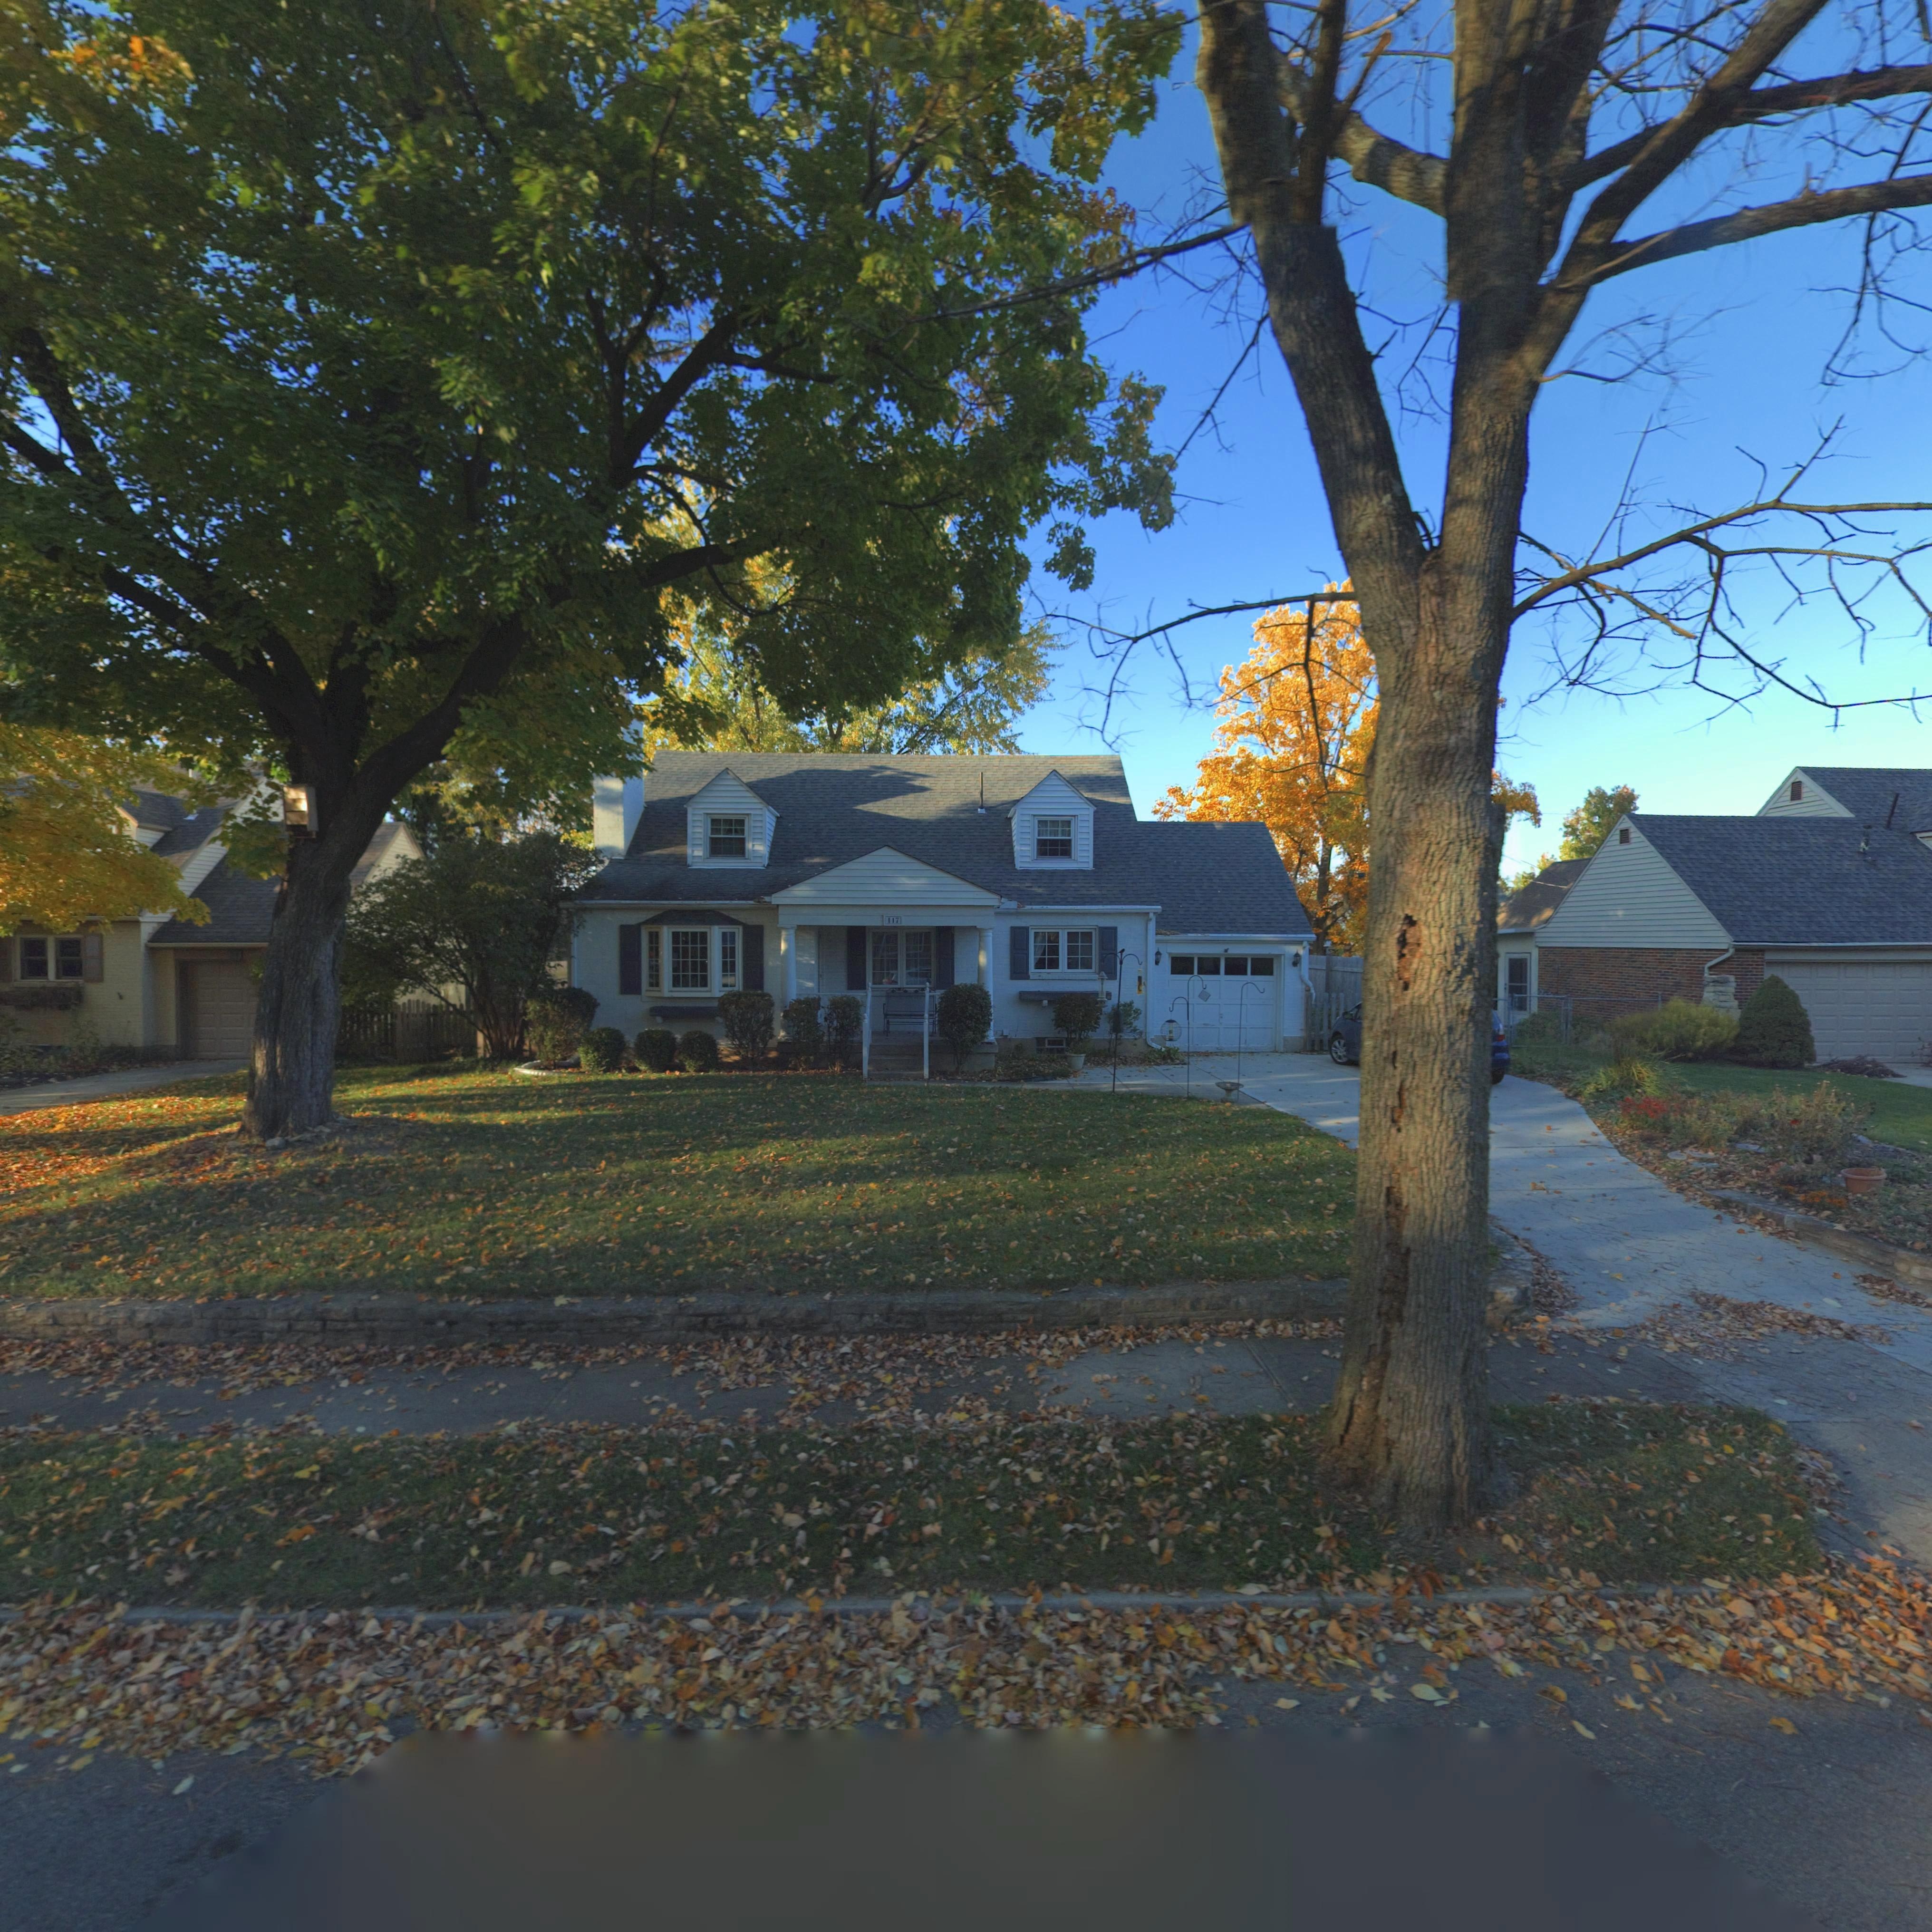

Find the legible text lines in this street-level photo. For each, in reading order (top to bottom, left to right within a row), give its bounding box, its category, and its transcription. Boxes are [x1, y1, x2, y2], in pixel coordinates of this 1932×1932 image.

[888, 917, 900, 924] StreetNumber: 117